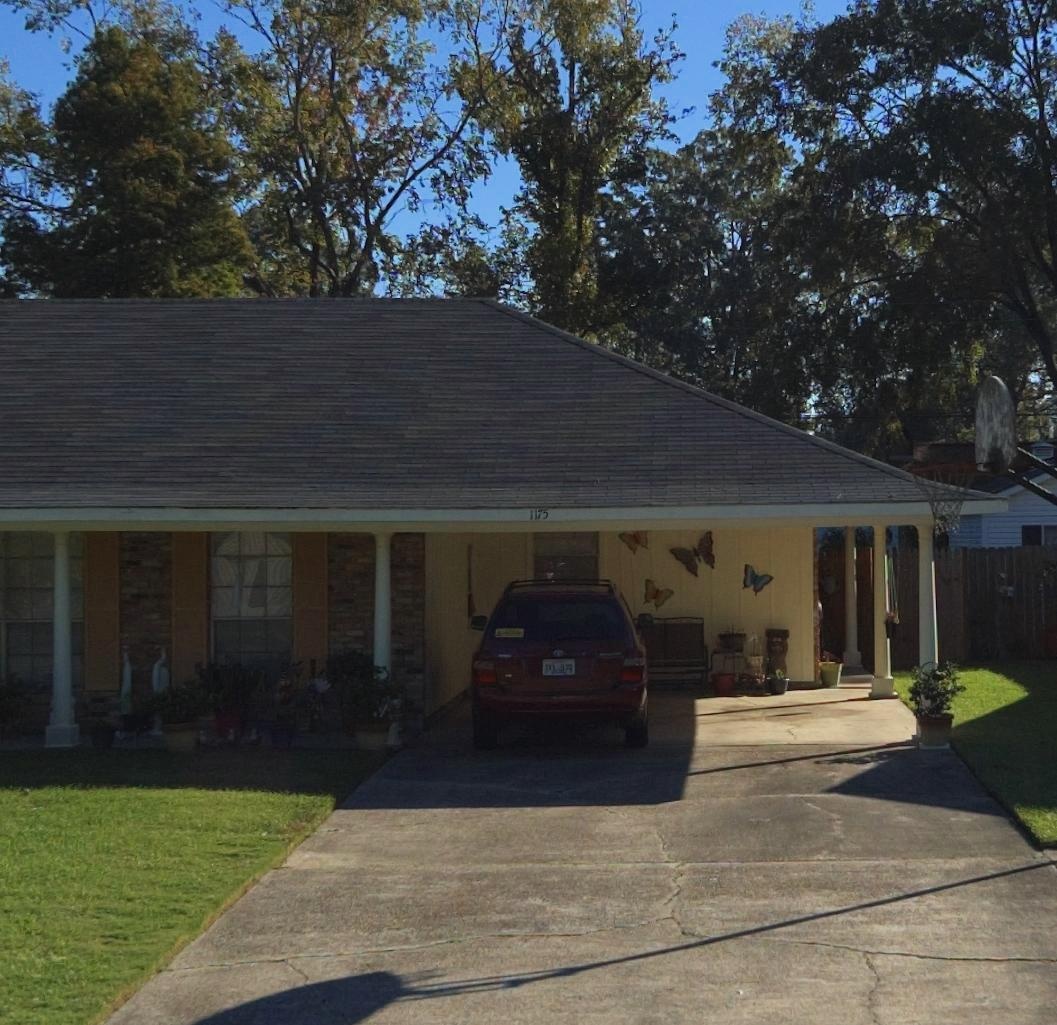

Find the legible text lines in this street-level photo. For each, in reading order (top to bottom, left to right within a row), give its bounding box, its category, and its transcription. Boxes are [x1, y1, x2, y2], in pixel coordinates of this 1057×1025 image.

[528, 507, 551, 523] StreetNumber: 1175